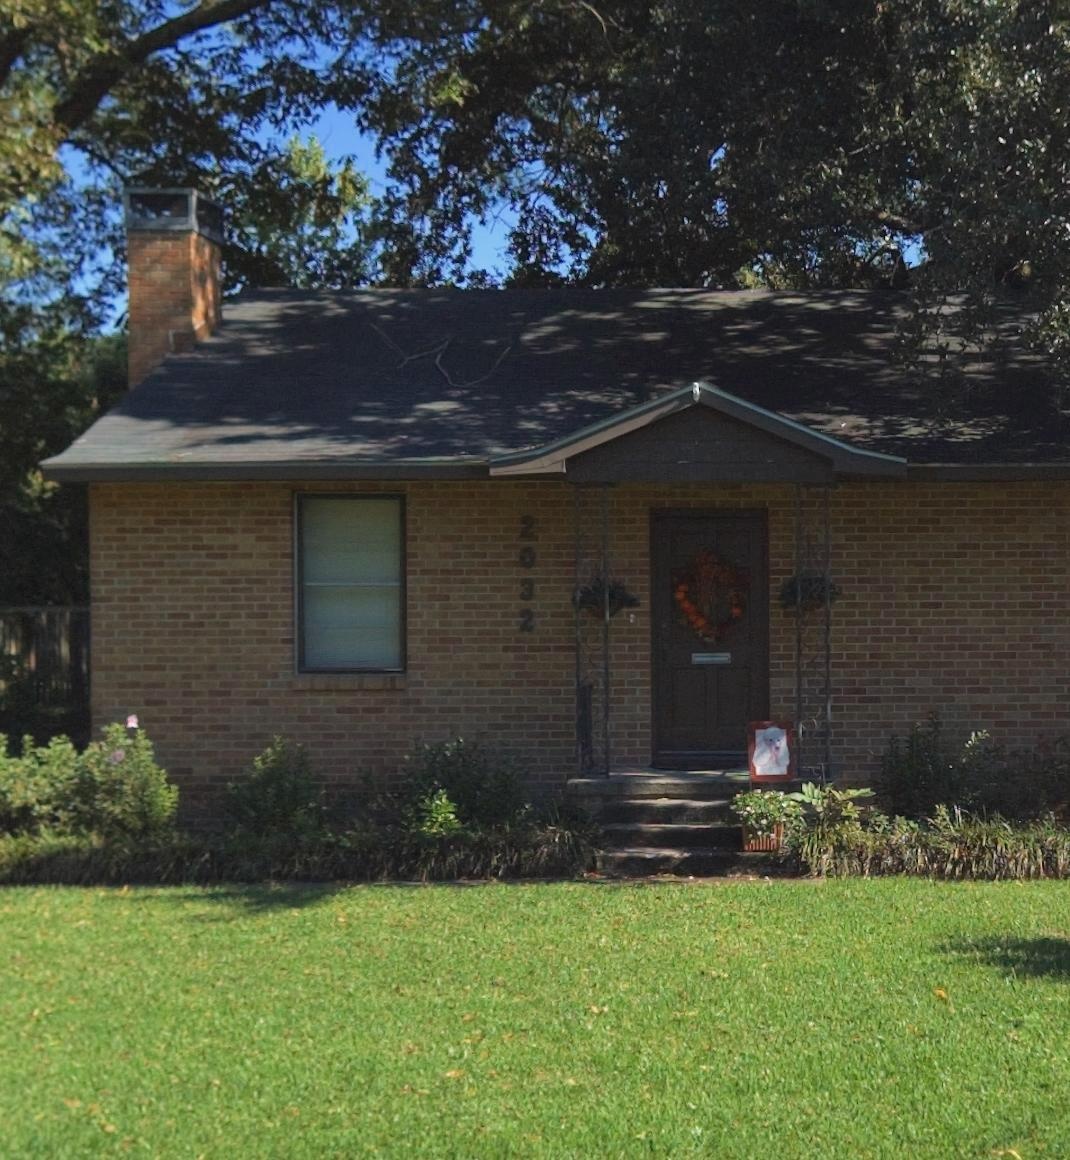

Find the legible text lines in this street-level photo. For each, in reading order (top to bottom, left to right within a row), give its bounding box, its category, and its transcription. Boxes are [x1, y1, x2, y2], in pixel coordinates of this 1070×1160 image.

[517, 512, 537, 634] StreetNumber: 2032